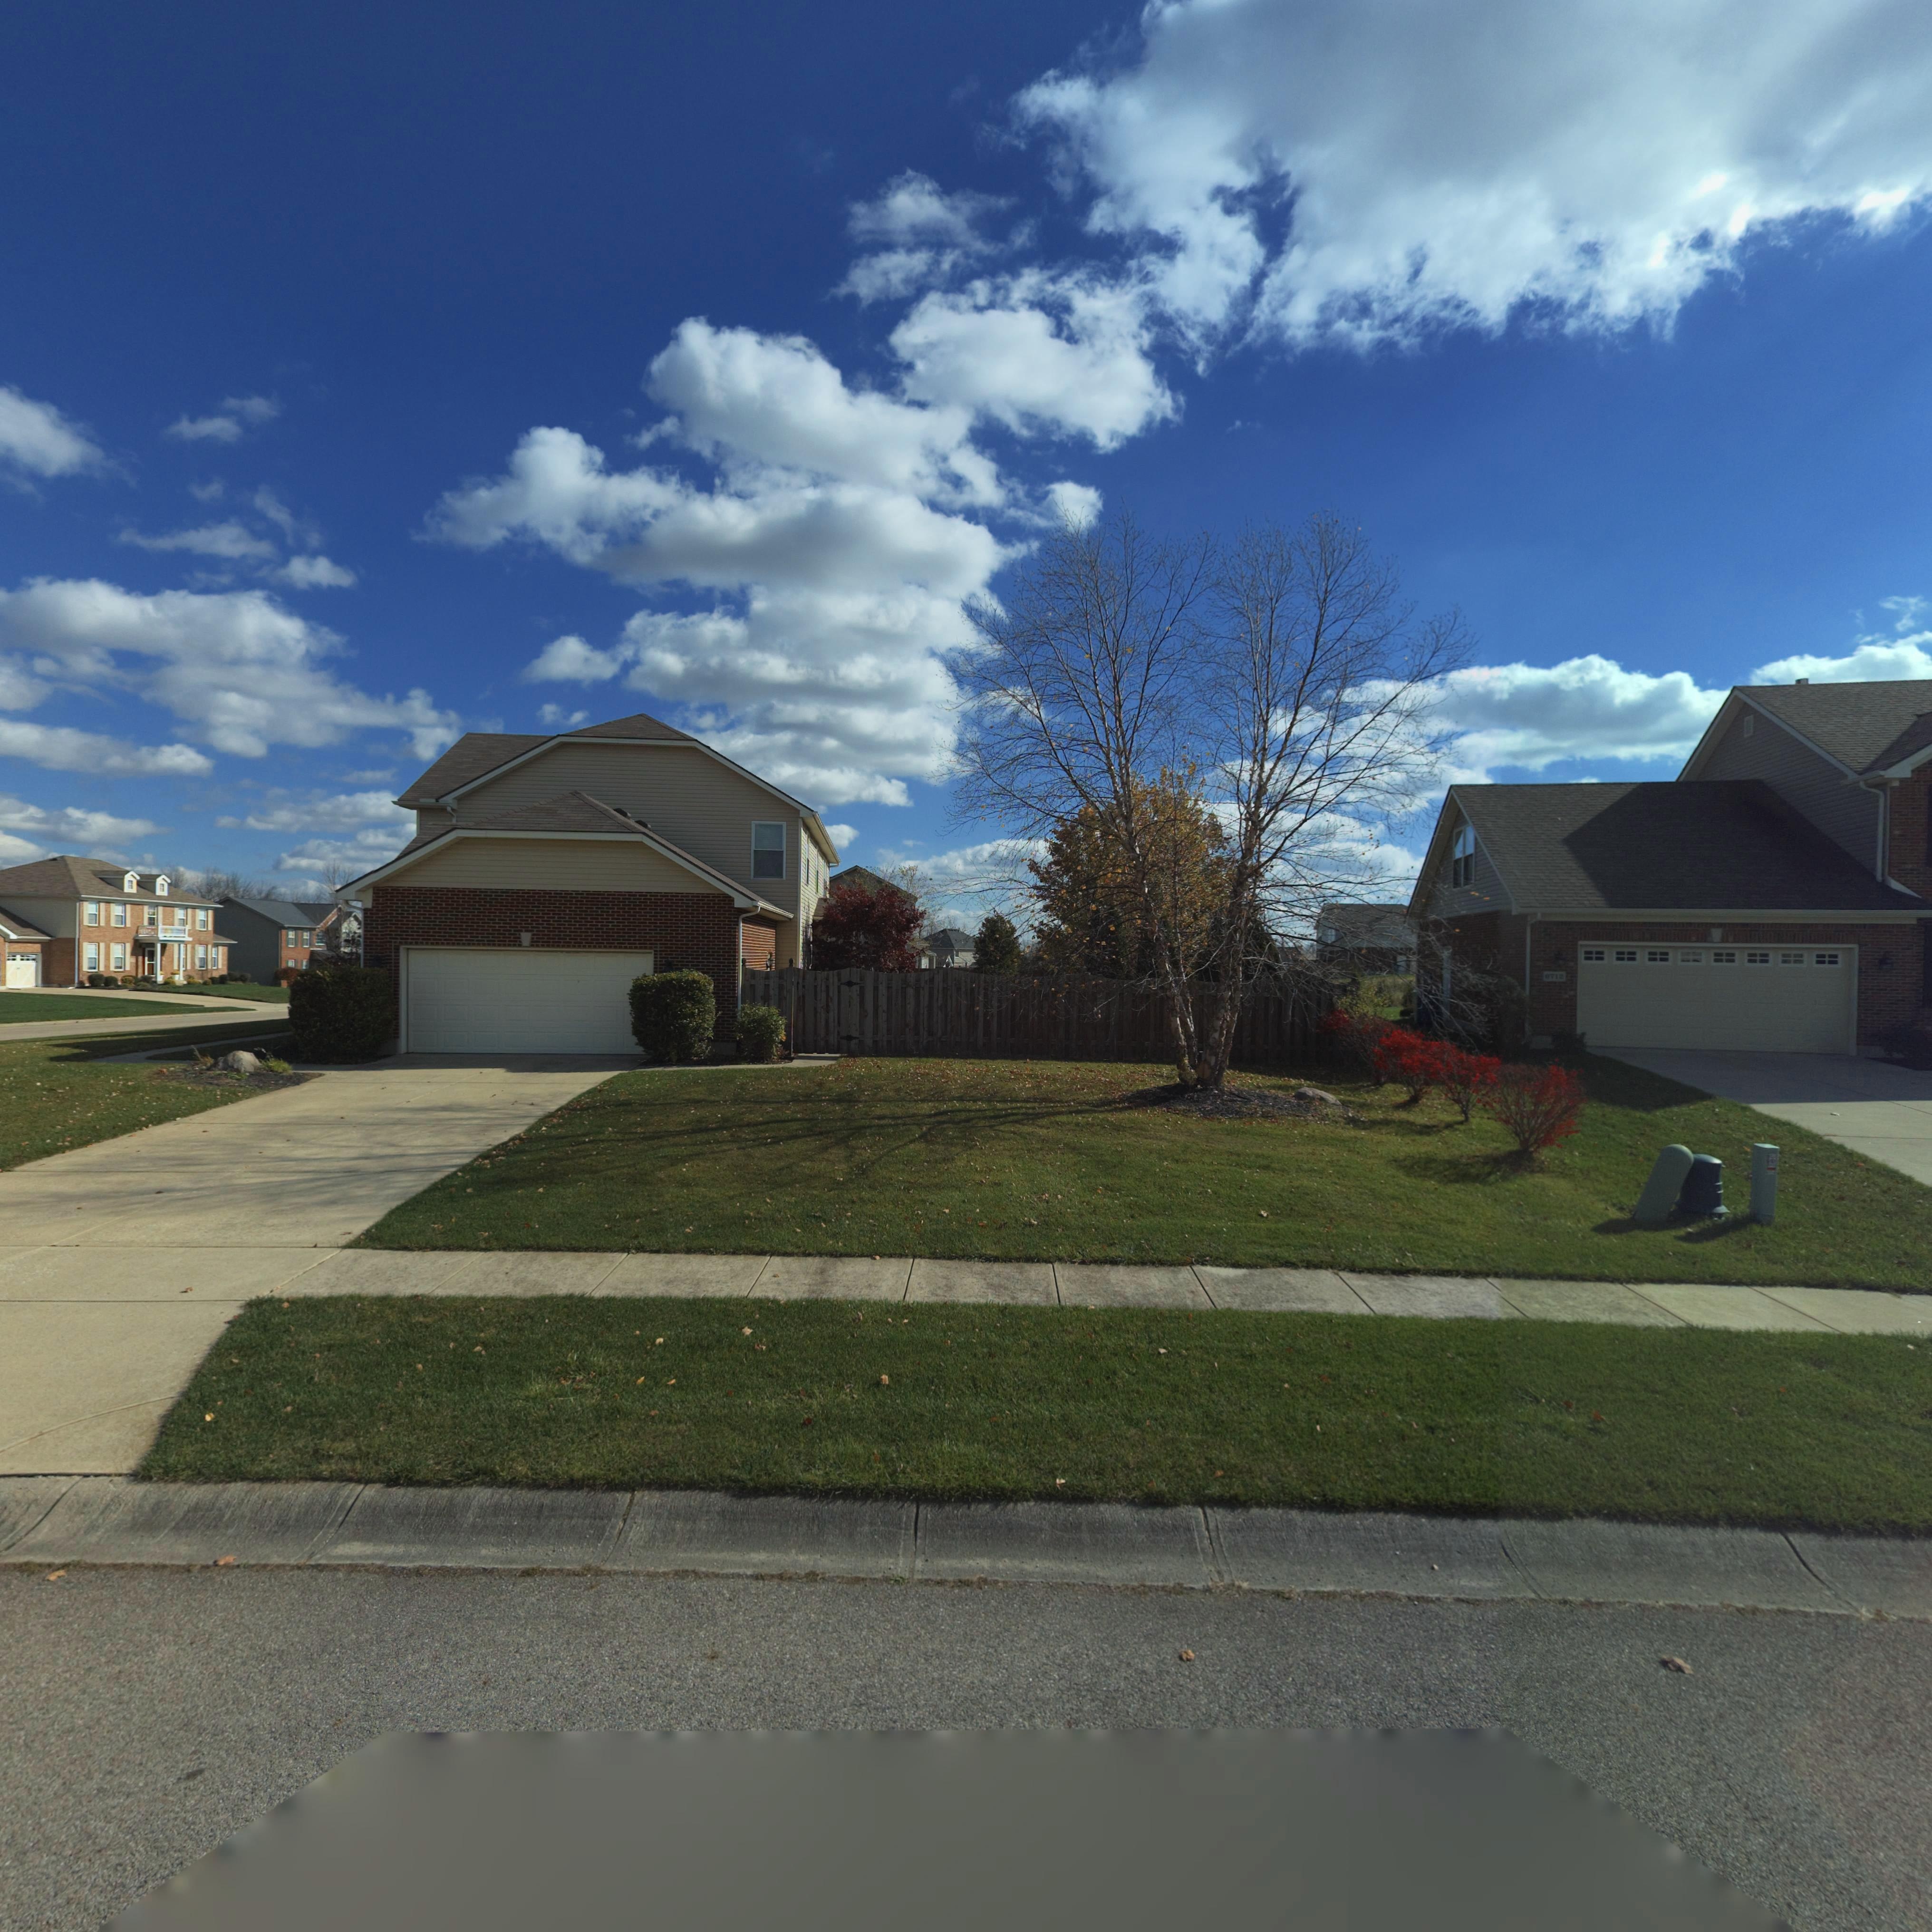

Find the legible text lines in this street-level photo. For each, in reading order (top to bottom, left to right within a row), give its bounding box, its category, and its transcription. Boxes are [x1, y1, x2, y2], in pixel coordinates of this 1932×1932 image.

[1545, 972, 1565, 980] StreetNumber: 6712